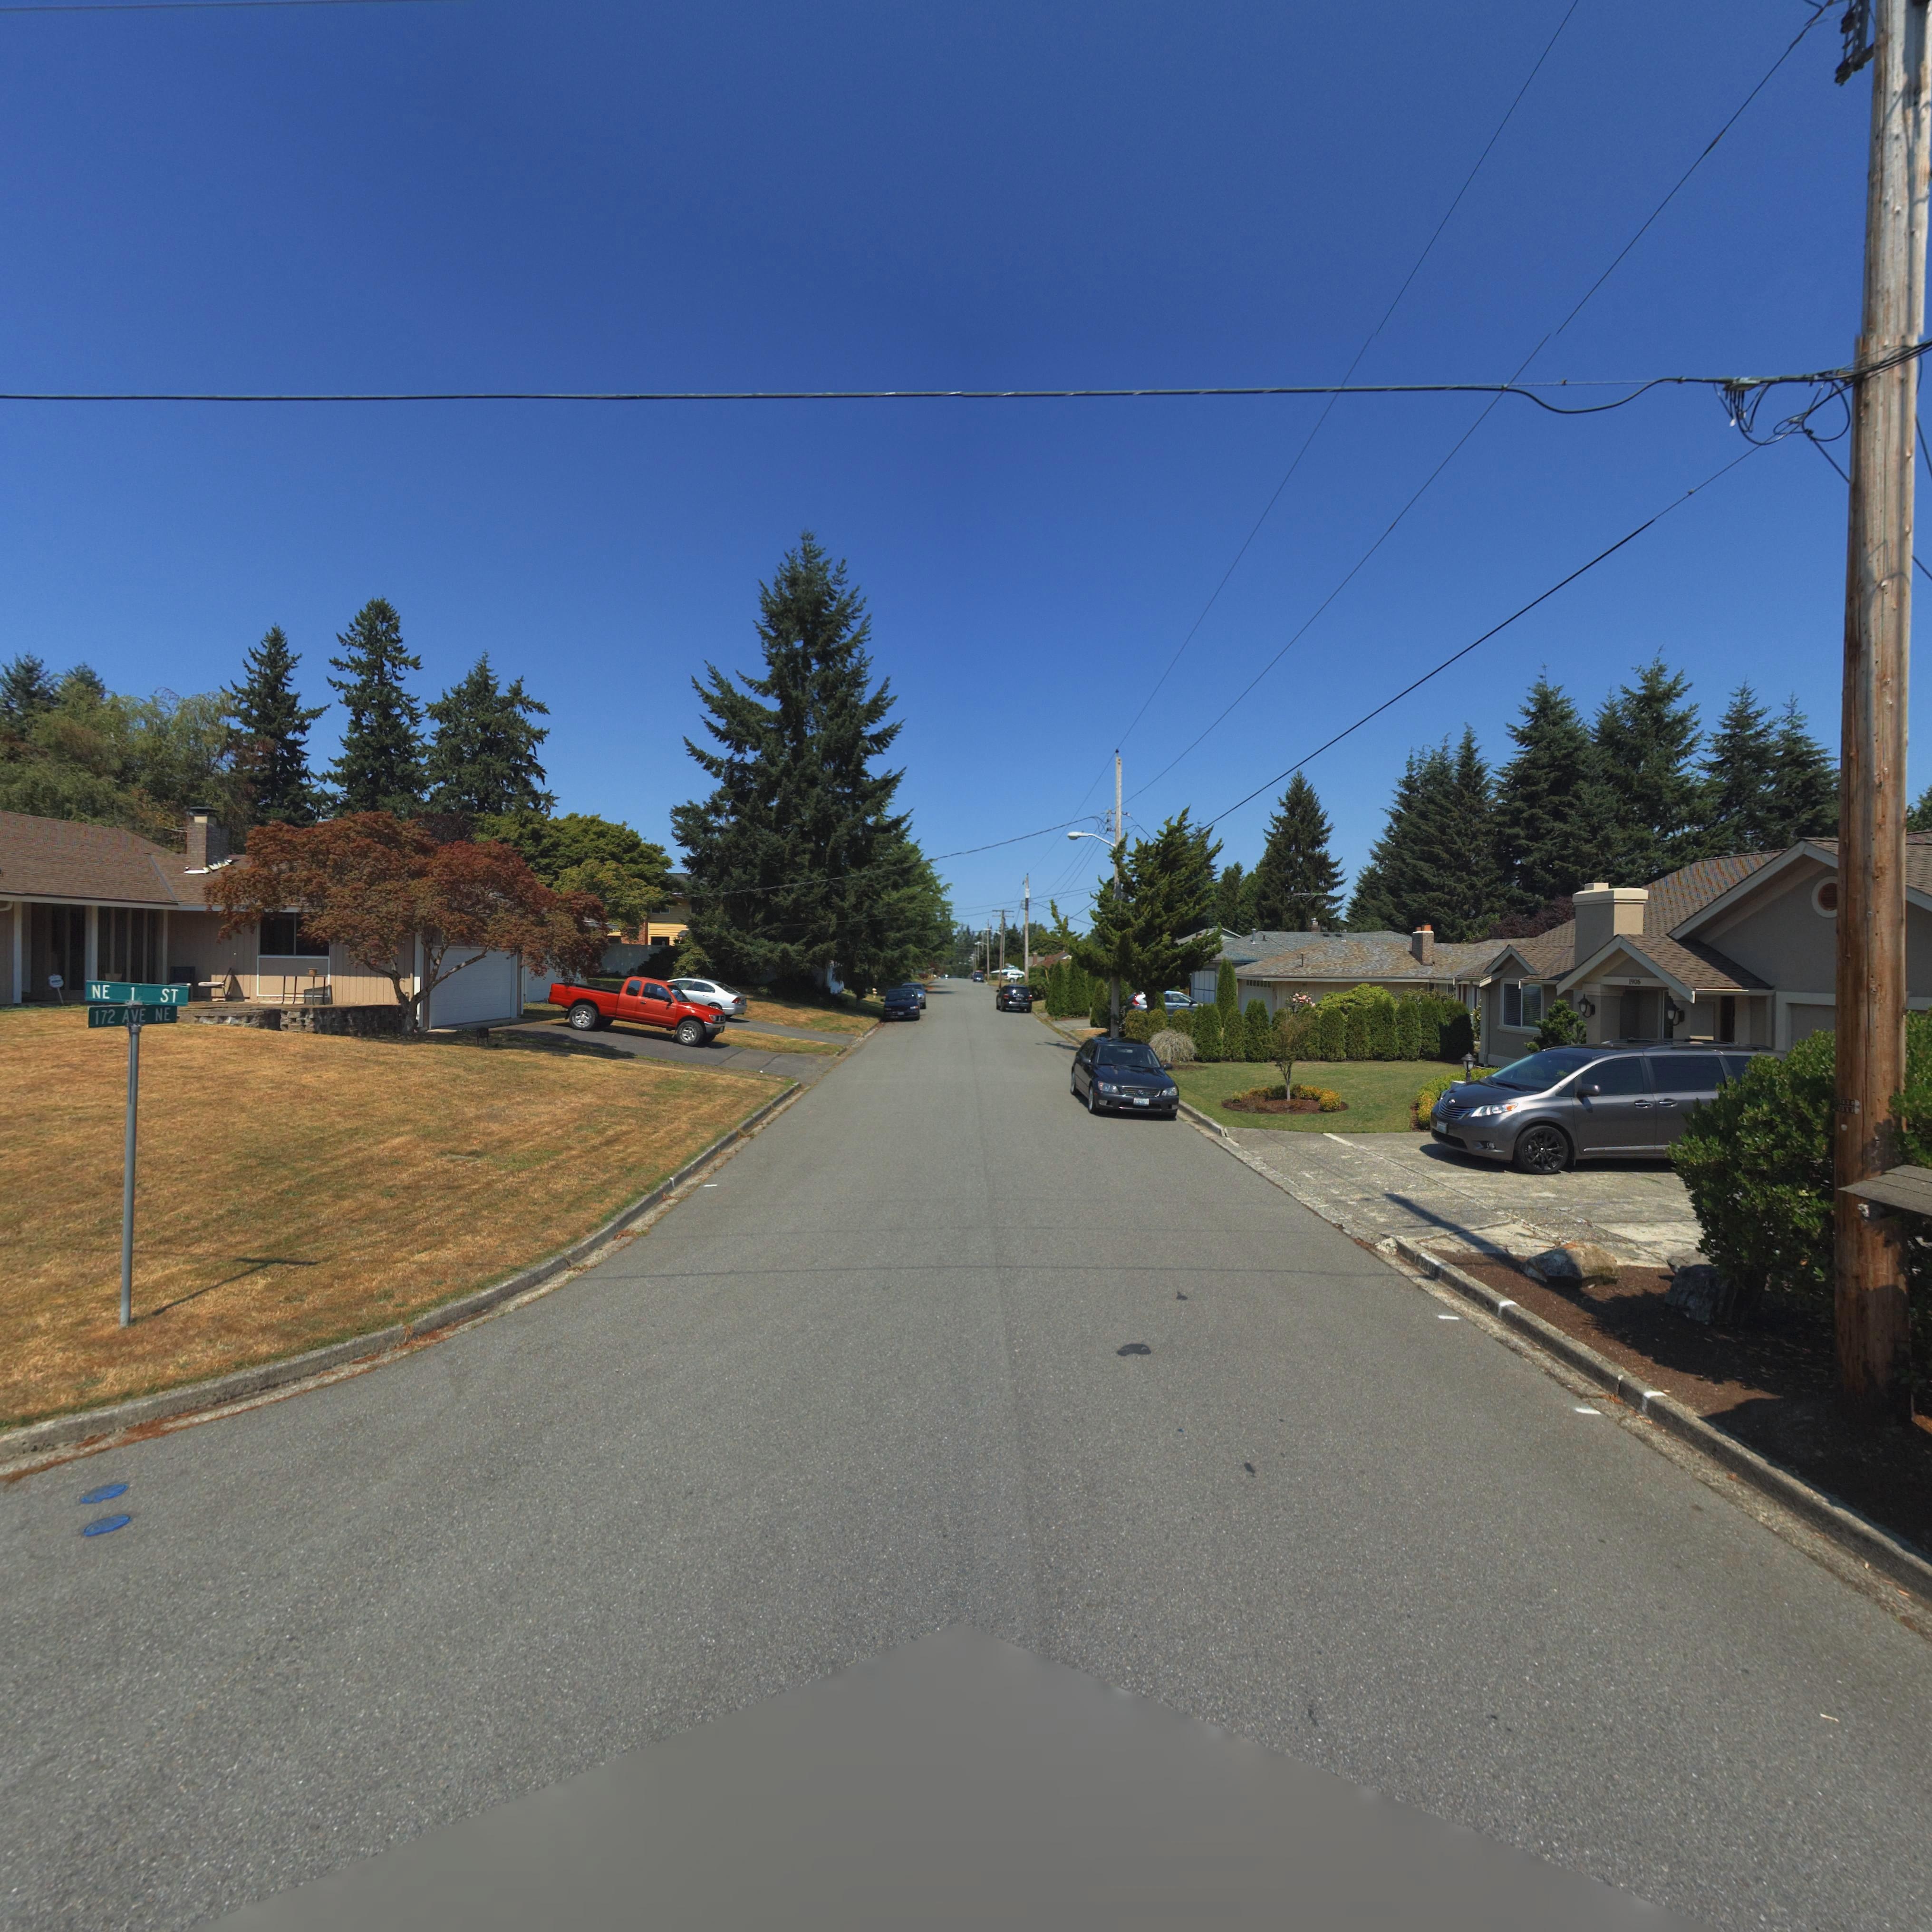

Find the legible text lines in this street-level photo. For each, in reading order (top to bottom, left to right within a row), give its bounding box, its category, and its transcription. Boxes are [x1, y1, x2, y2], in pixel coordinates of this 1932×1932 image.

[1628, 977, 1641, 985] StreetNumber: 190*
[90, 983, 112, 1000] StreetName: NE
[128, 986, 136, 1001] StreetName: 1
[158, 988, 180, 1003] StreetName: ST
[94, 1007, 170, 1024] StreetName: 172 AVE NE